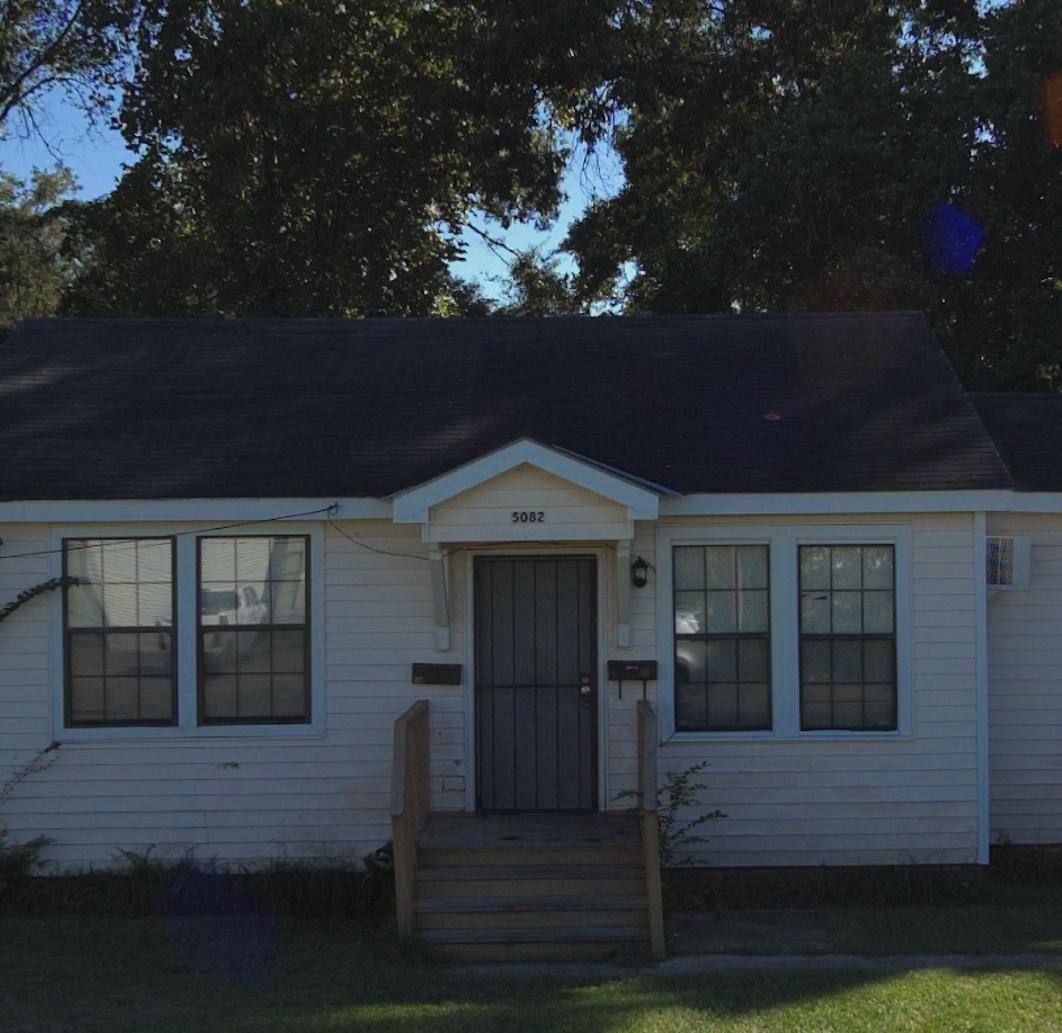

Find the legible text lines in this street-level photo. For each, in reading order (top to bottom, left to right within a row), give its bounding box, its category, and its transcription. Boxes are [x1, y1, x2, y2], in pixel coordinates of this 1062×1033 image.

[511, 510, 546, 524] StreetNumber: 5082